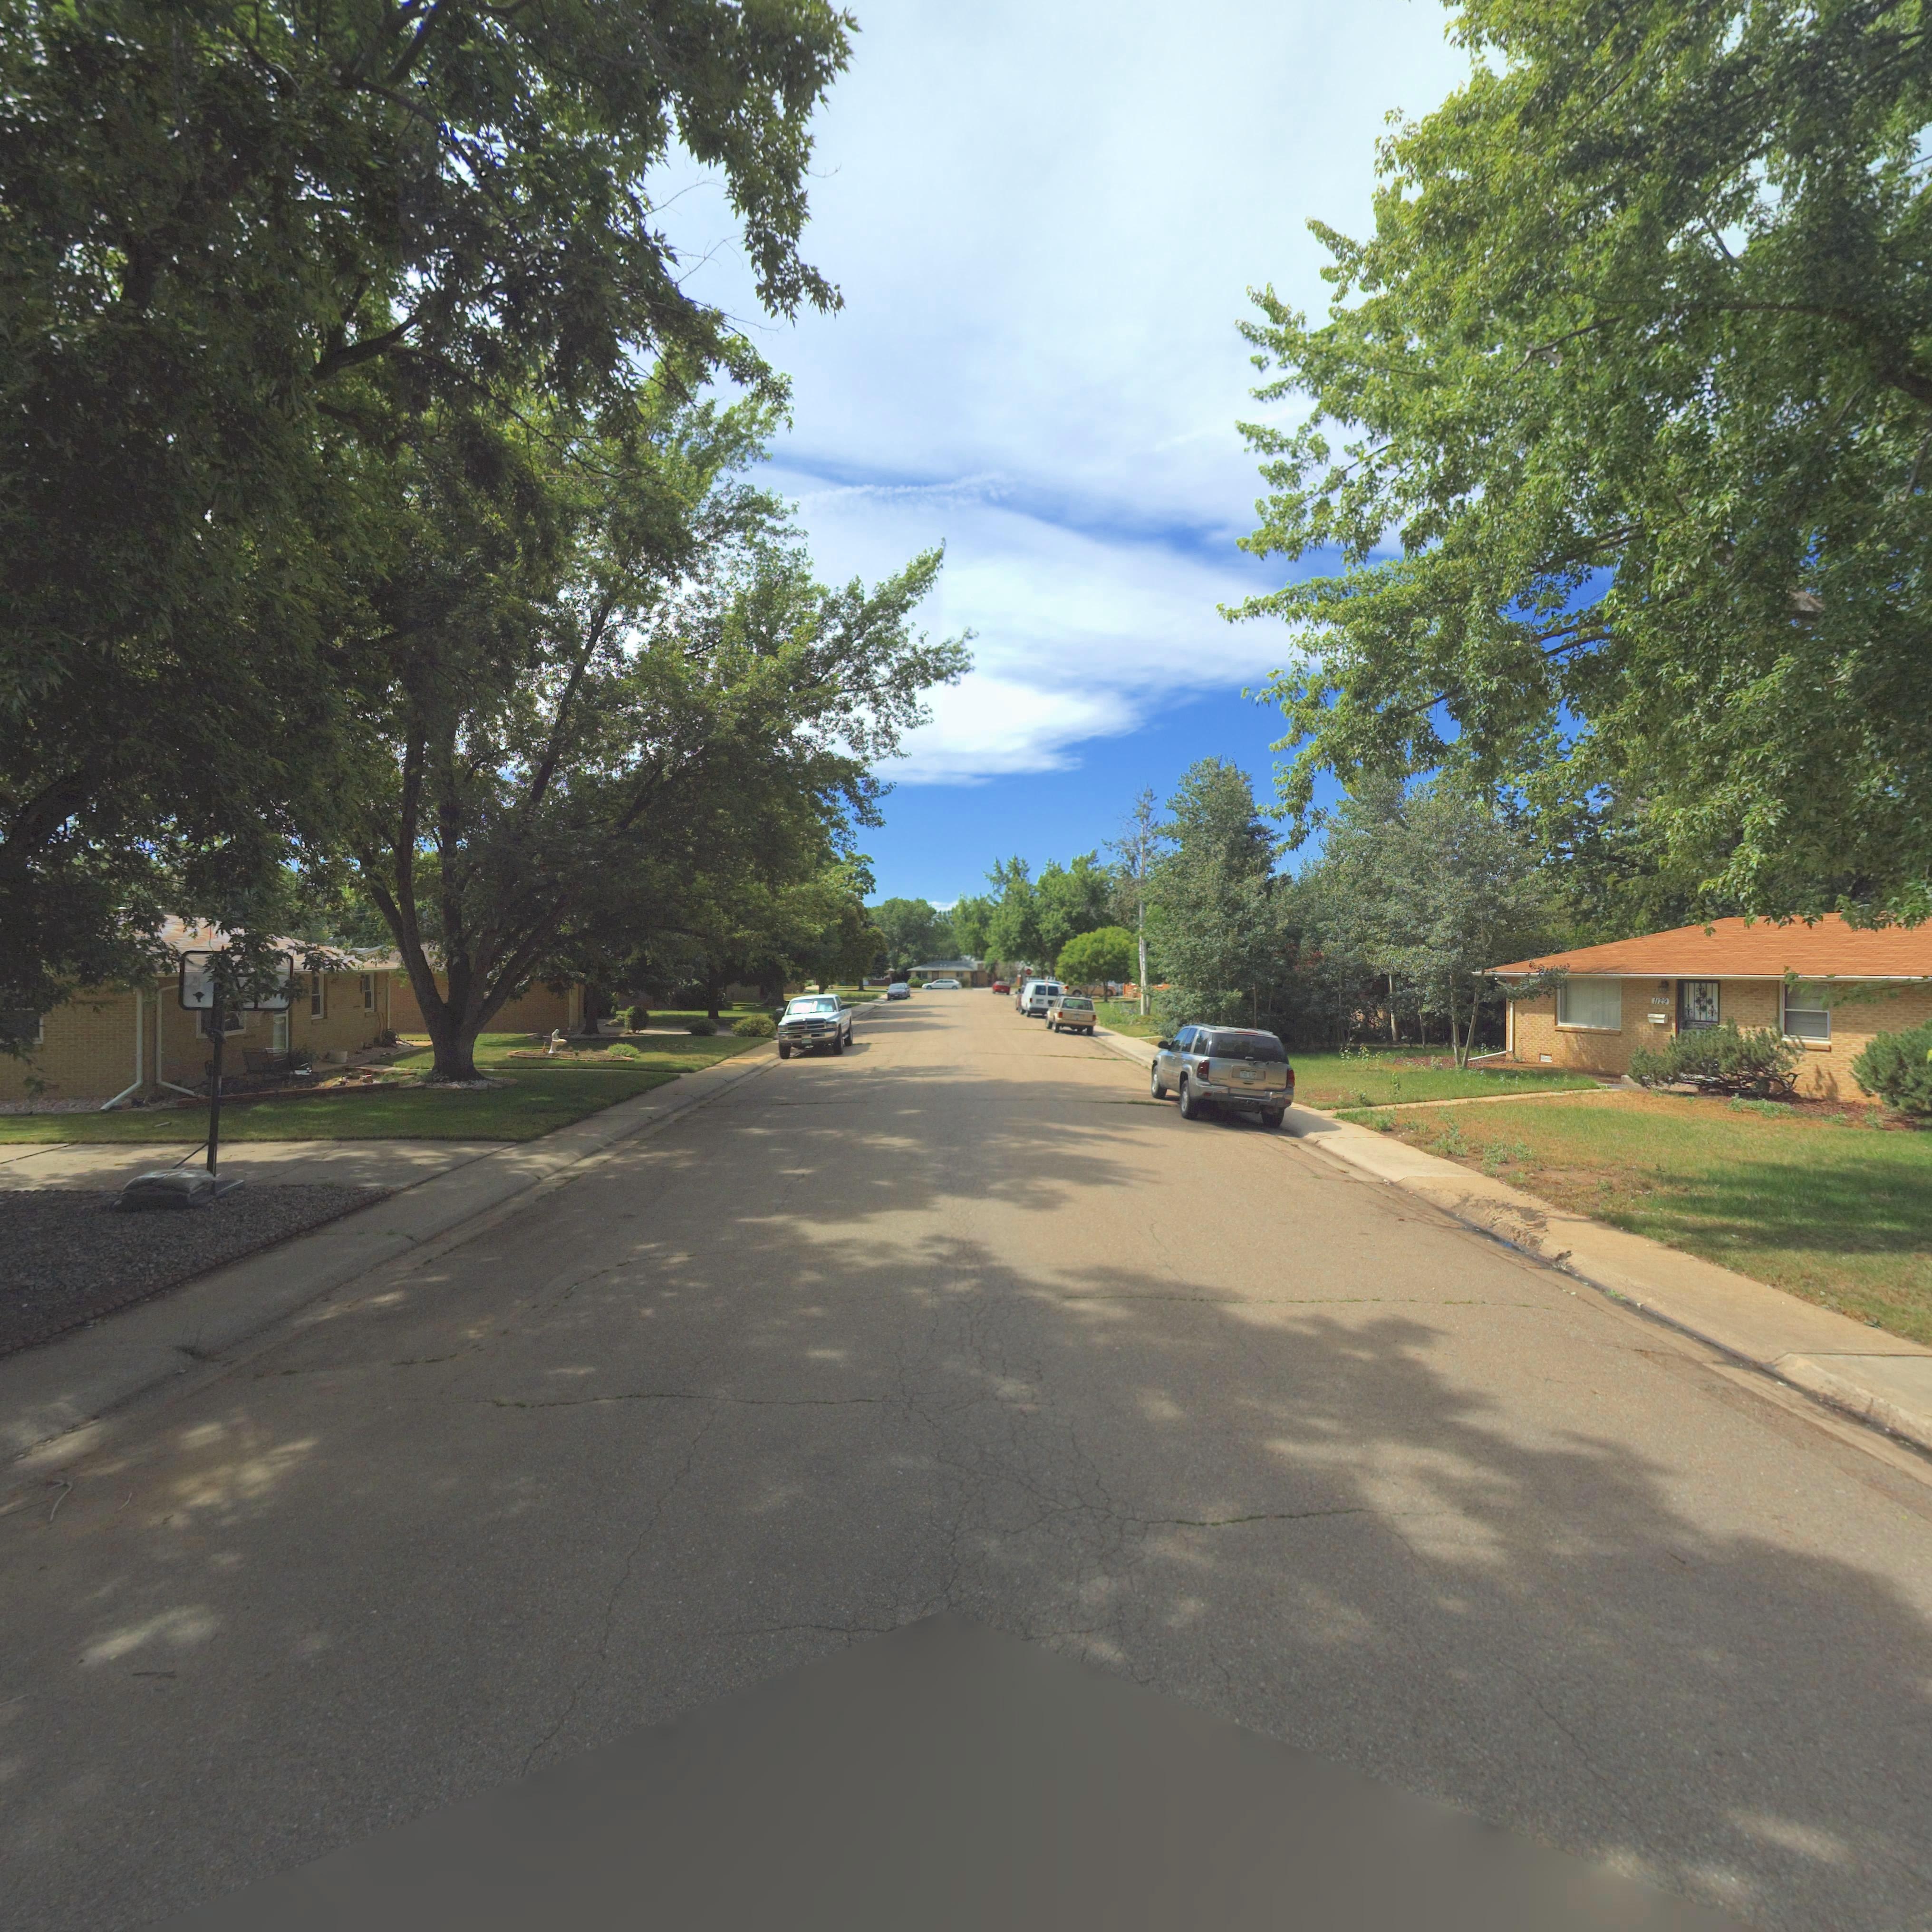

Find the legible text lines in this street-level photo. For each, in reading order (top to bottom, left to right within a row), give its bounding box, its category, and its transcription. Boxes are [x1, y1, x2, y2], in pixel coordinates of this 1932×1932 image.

[1653, 997, 1667, 1004] StreetNumber: 1129